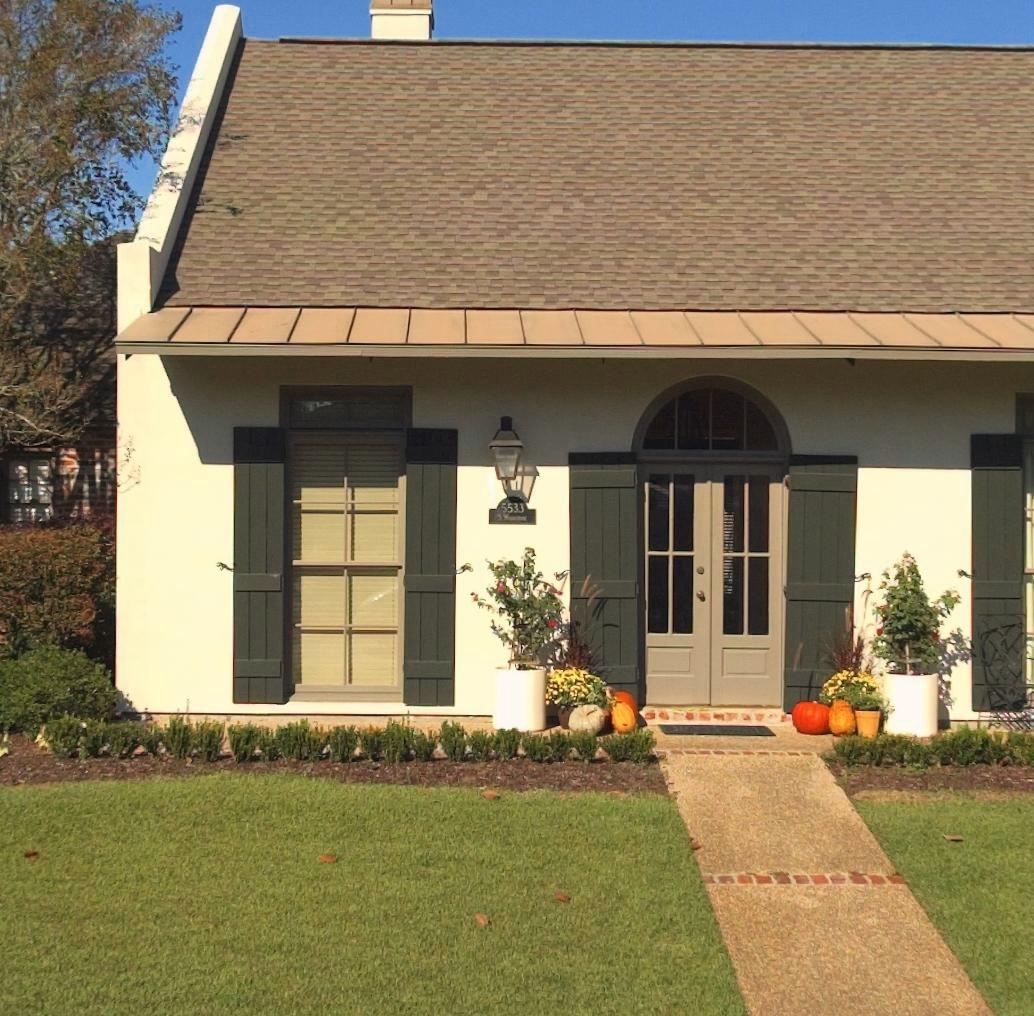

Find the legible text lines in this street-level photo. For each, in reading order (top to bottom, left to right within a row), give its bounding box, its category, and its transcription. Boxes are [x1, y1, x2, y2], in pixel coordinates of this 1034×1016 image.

[500, 501, 526, 515] StreetNumber: 5533